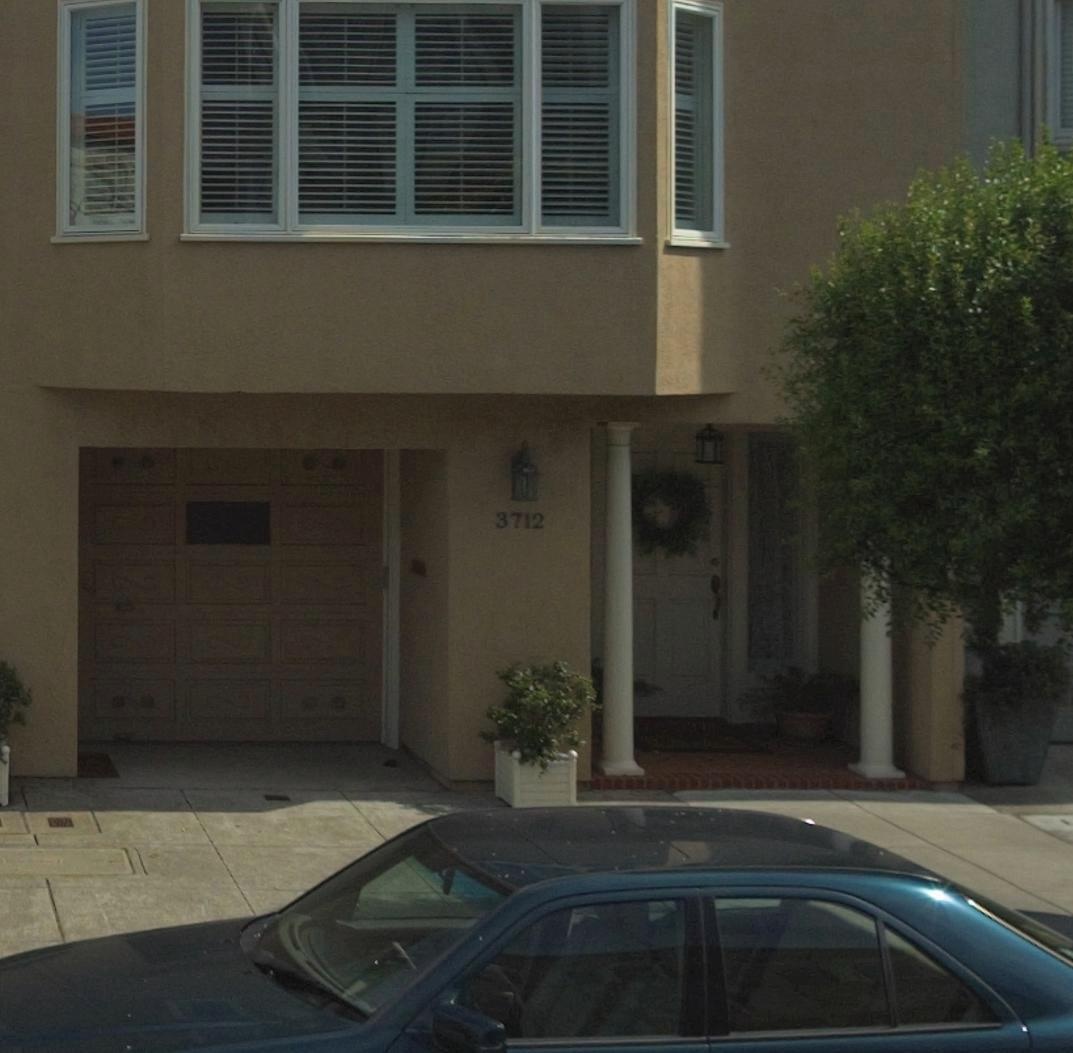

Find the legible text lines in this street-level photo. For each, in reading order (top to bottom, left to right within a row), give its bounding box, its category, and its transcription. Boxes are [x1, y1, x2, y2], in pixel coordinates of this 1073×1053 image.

[494, 509, 546, 532] StreetNumber: 3712